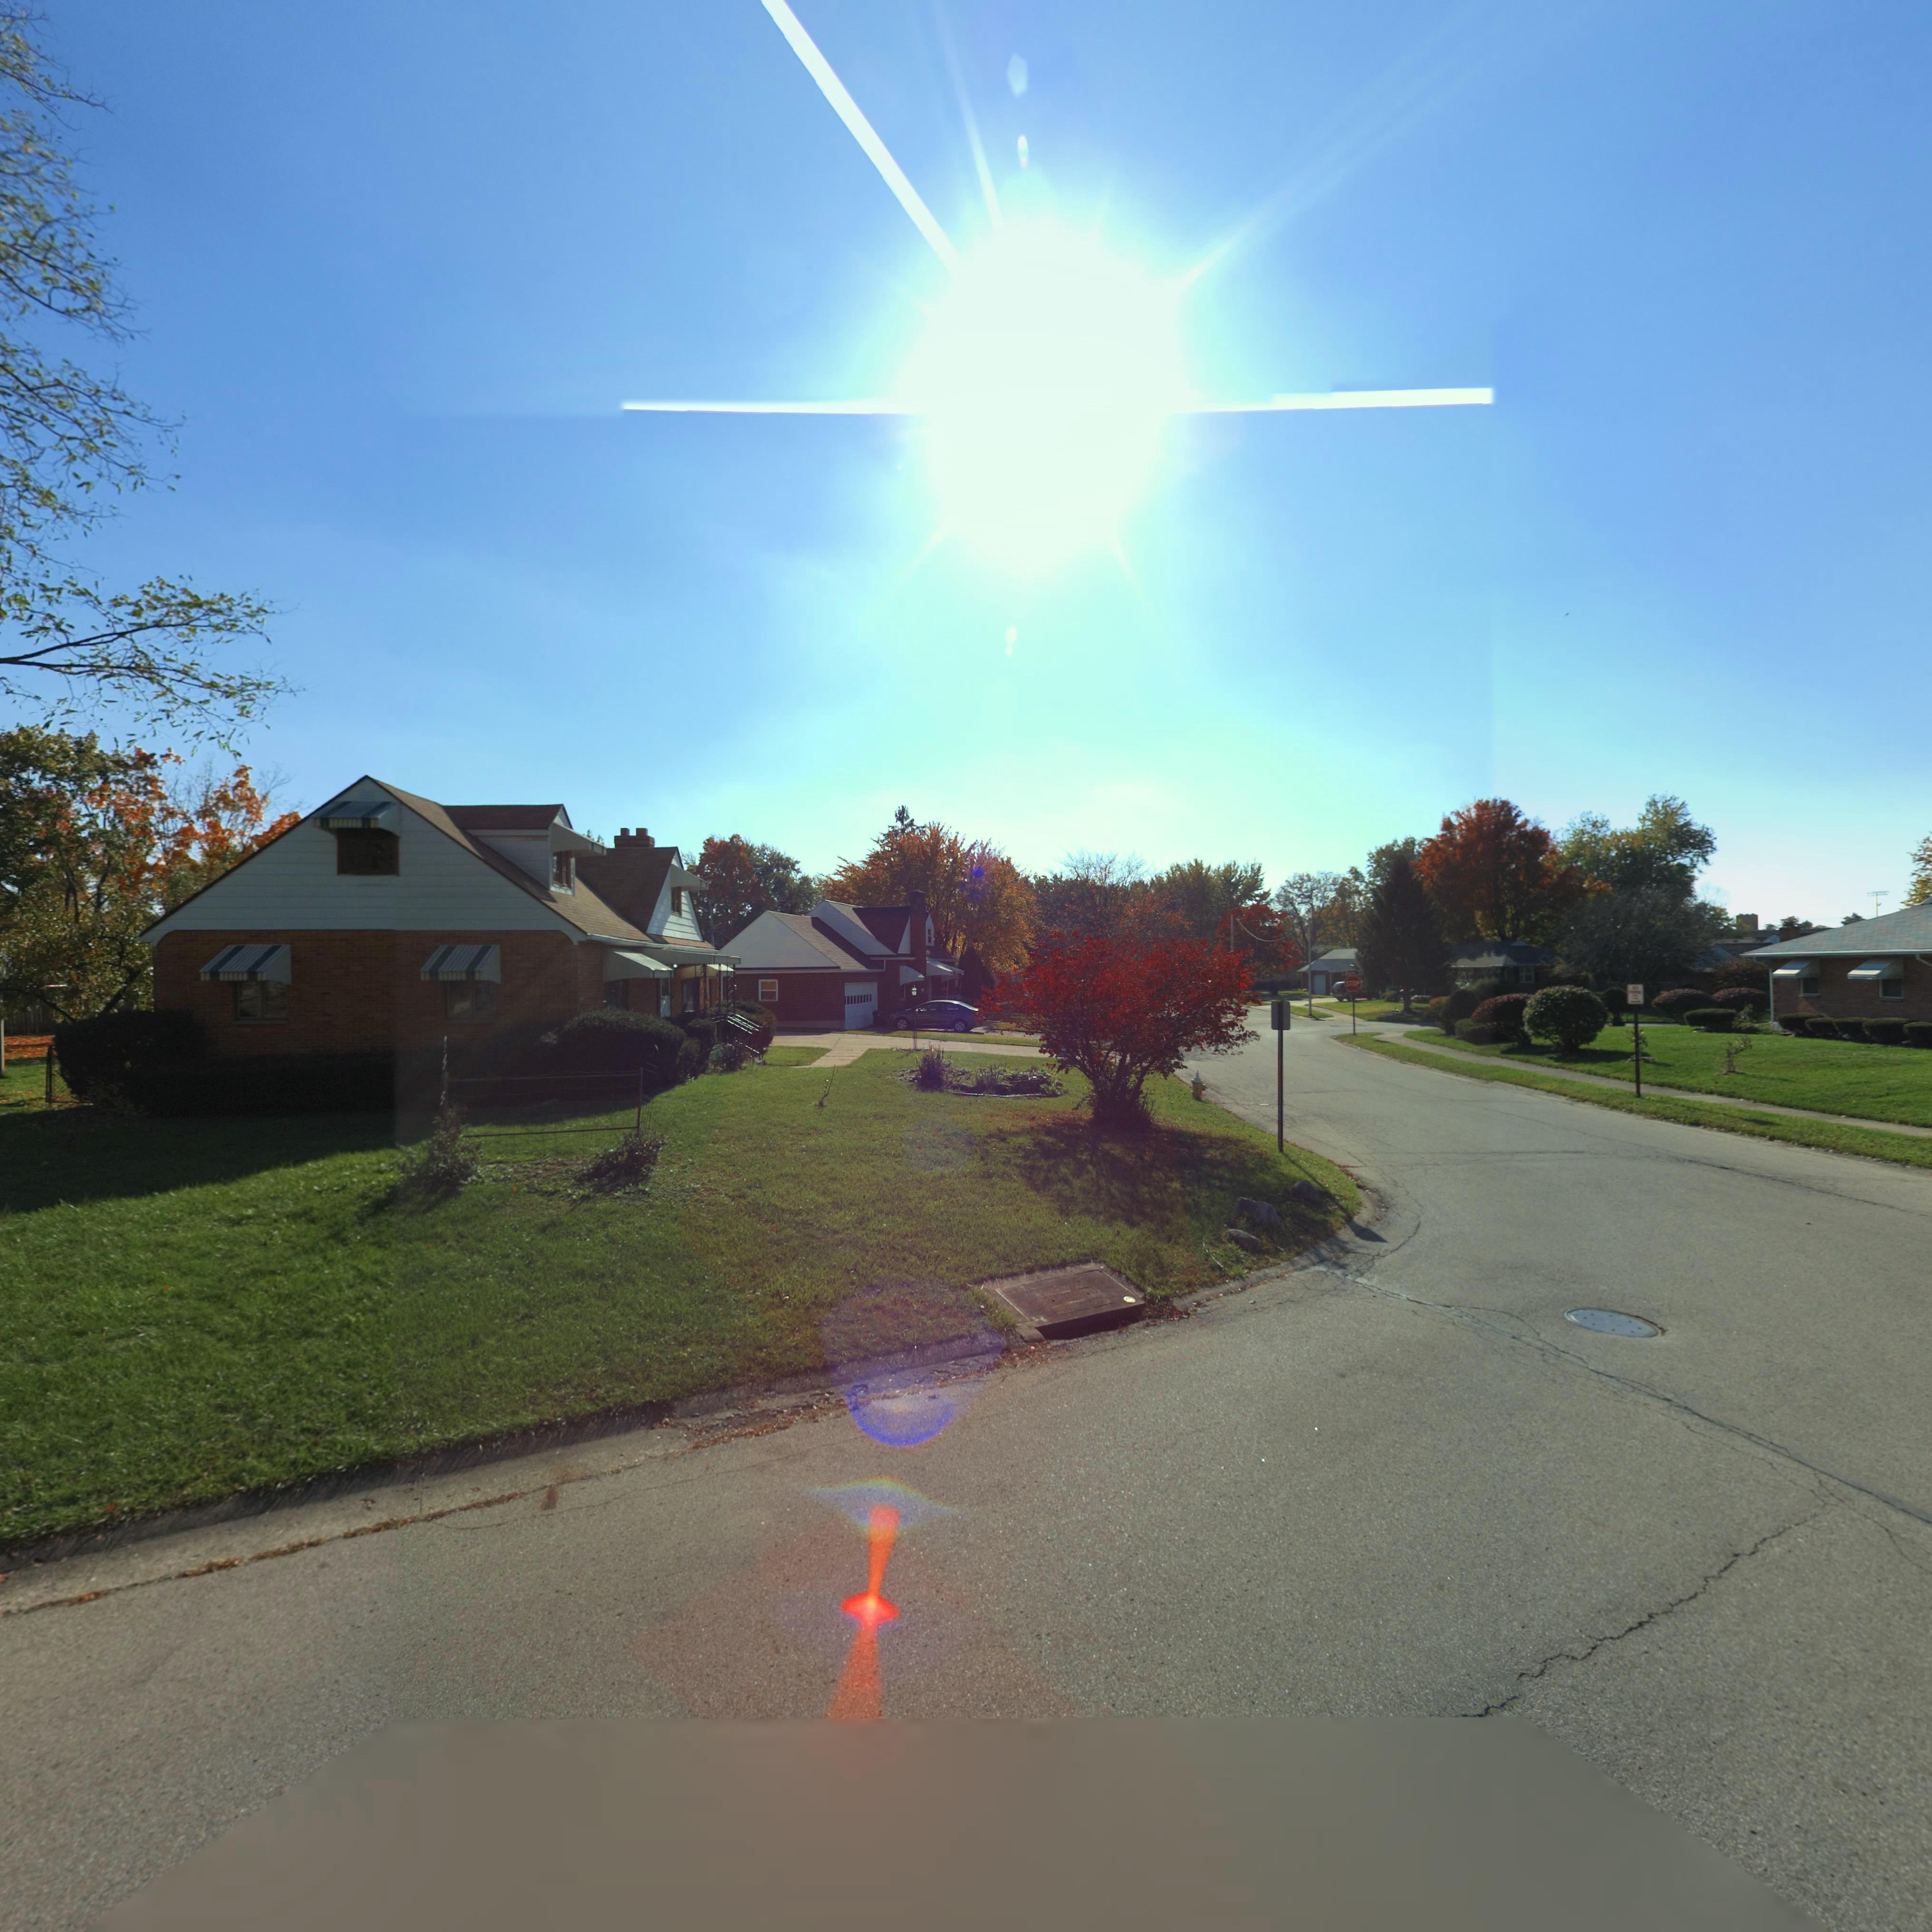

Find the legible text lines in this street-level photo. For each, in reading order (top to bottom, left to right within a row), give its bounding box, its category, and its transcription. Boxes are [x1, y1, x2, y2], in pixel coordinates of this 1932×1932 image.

[1345, 980, 1361, 986] None: STOP